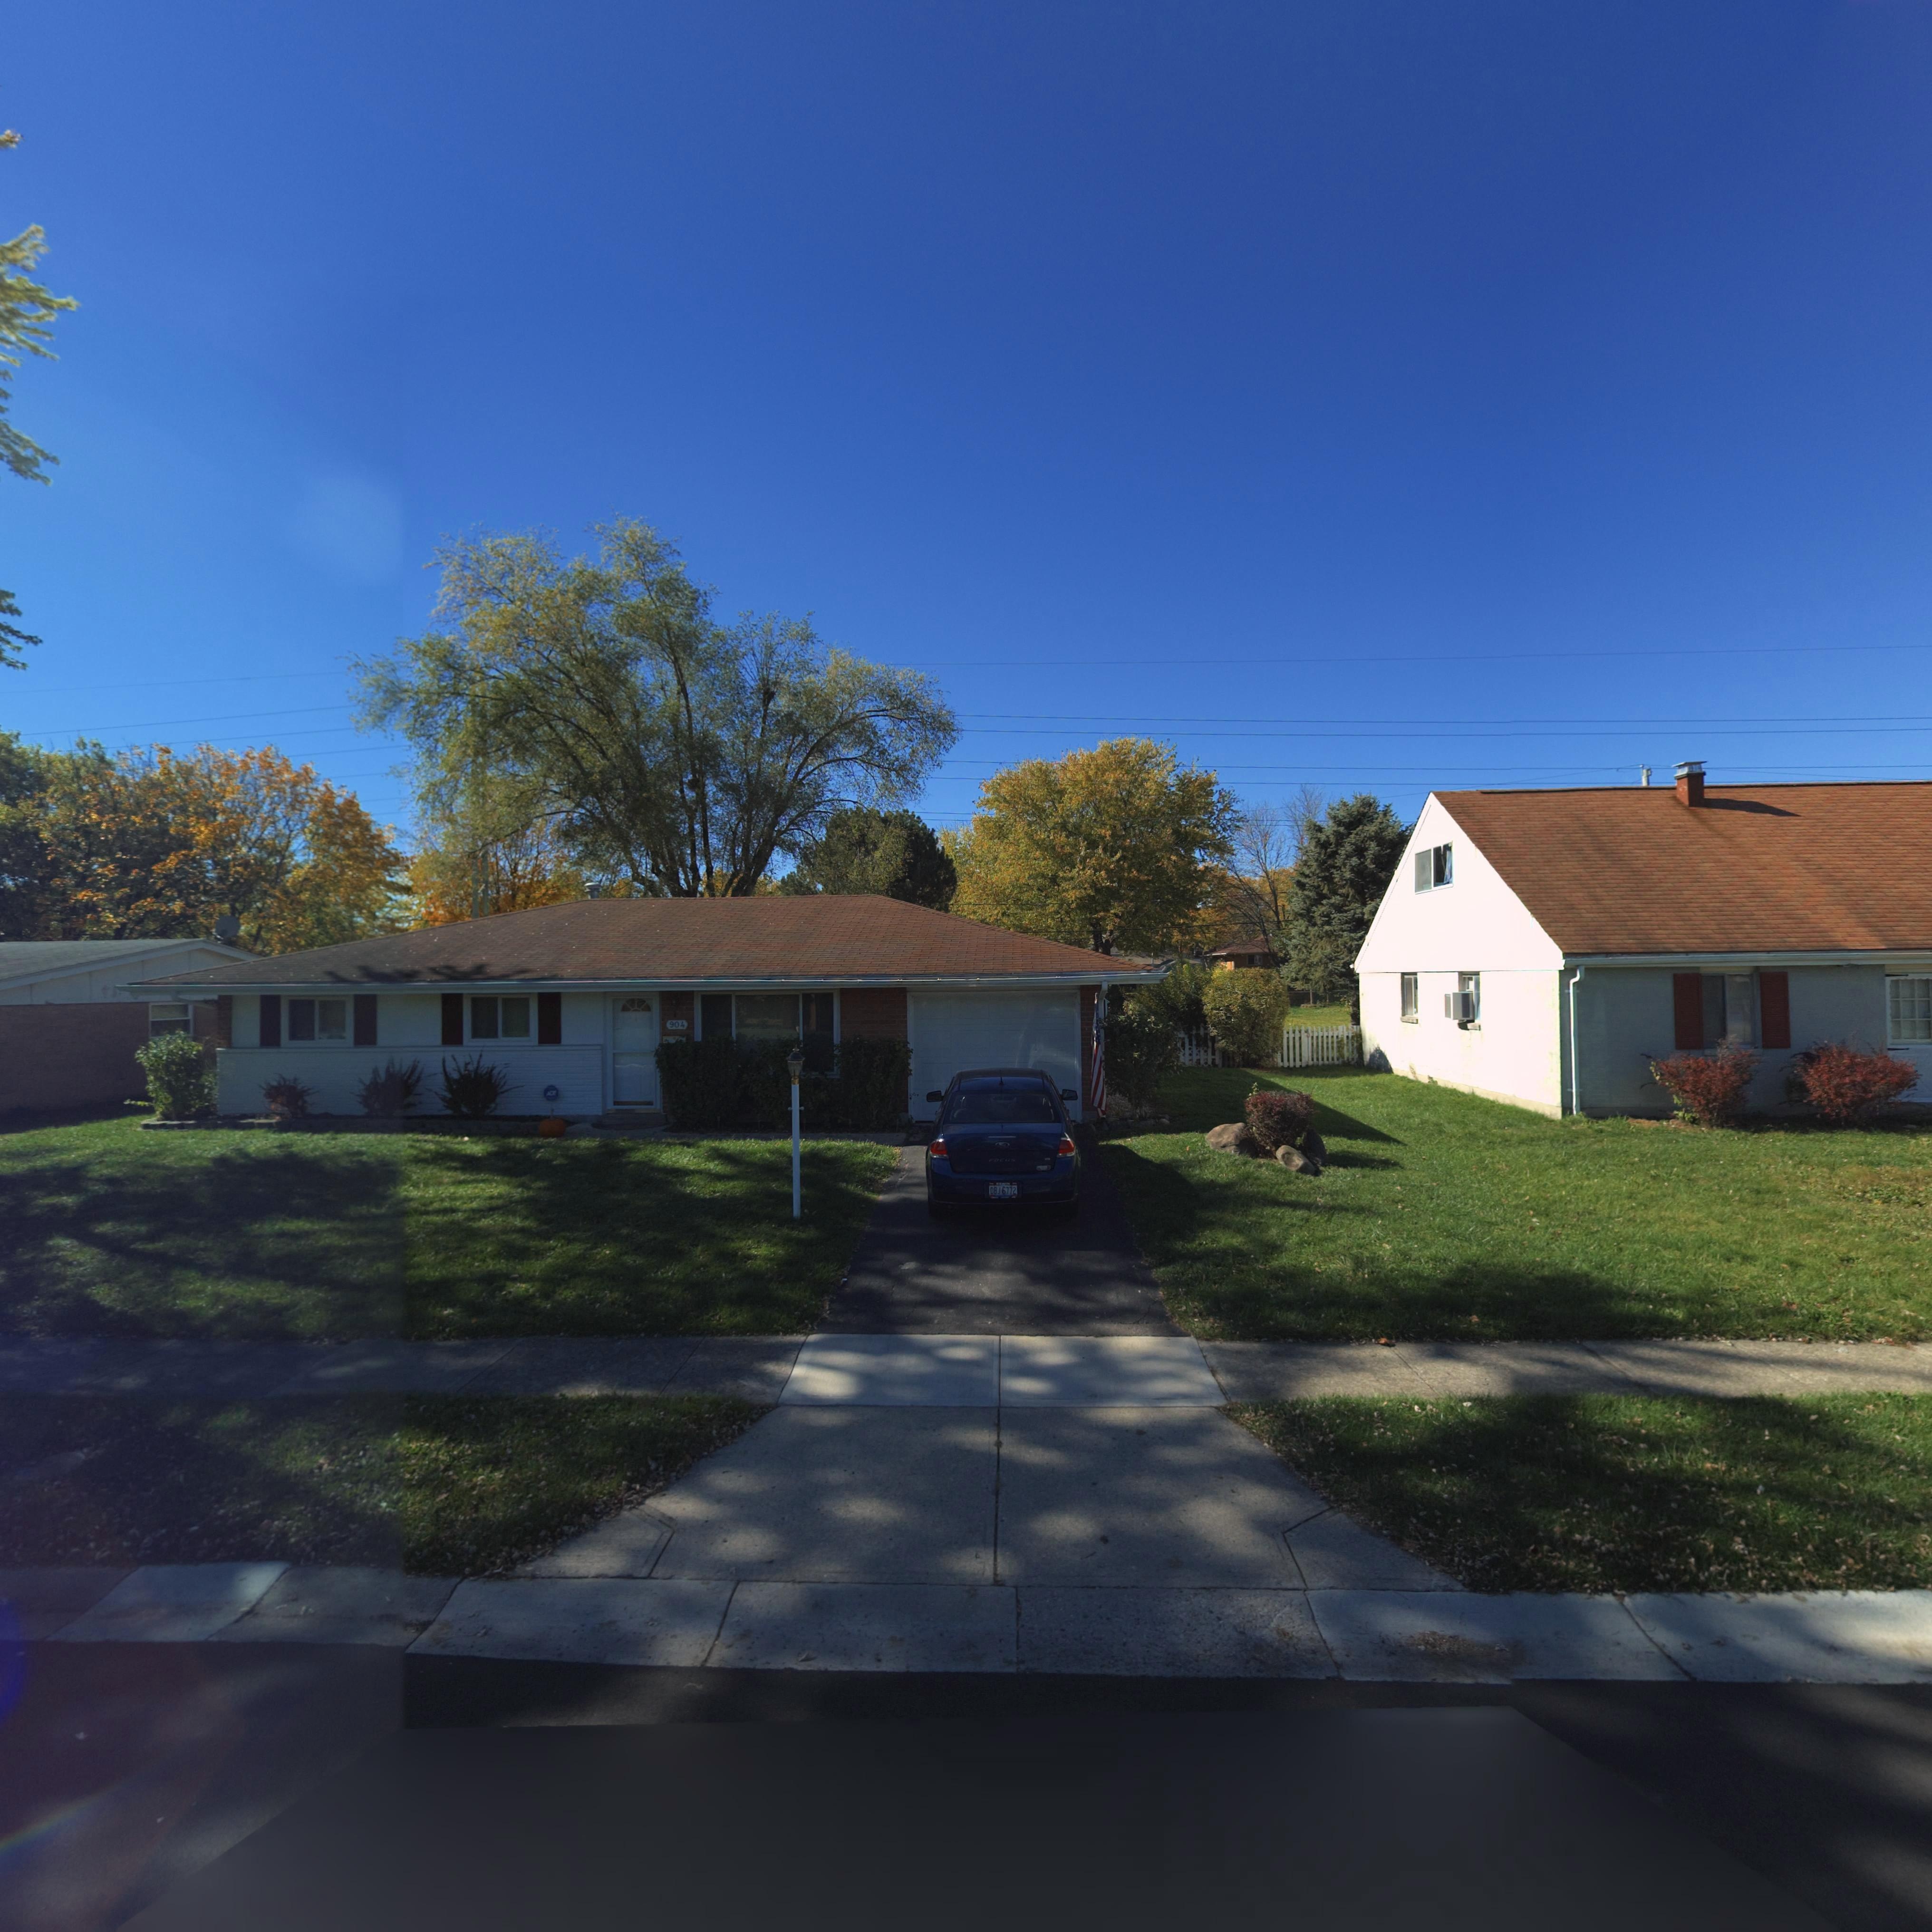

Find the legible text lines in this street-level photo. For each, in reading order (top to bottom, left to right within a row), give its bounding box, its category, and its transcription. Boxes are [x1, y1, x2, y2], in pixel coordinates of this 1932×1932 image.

[669, 1021, 685, 1029] StreetNumber: 904